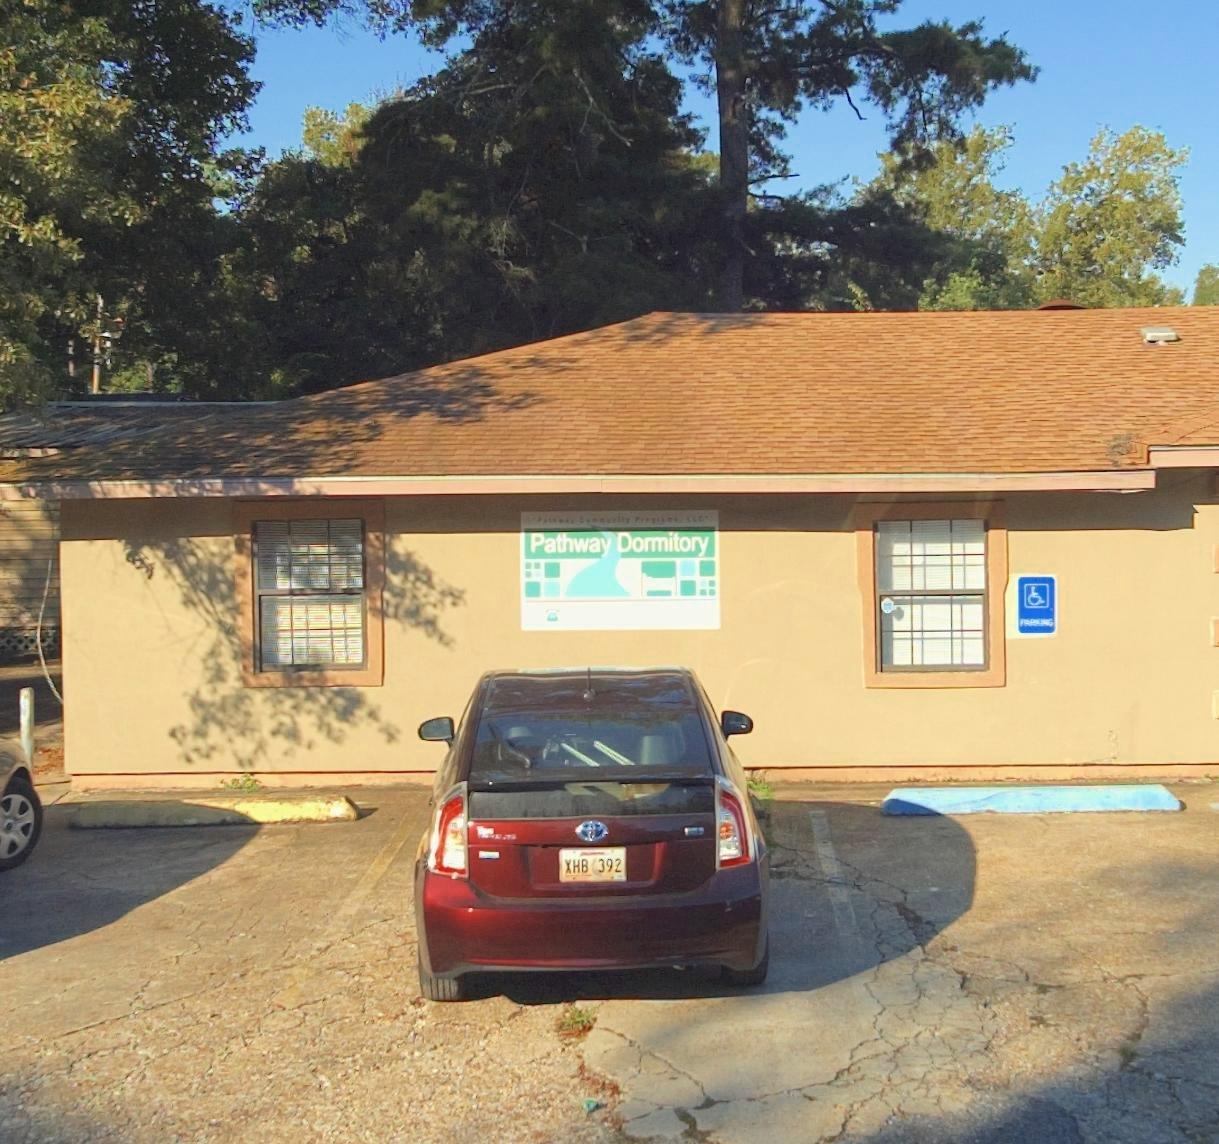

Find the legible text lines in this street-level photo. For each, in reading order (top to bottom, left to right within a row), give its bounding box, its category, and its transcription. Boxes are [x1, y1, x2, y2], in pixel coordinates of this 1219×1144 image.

[534, 514, 705, 524] BusinessName: Pathway Community Programs, LLC
[528, 529, 712, 560] BusinessName: Pathway Dormitory
[1017, 616, 1055, 629] None: PARKING
[561, 855, 625, 876] None: XHB 392